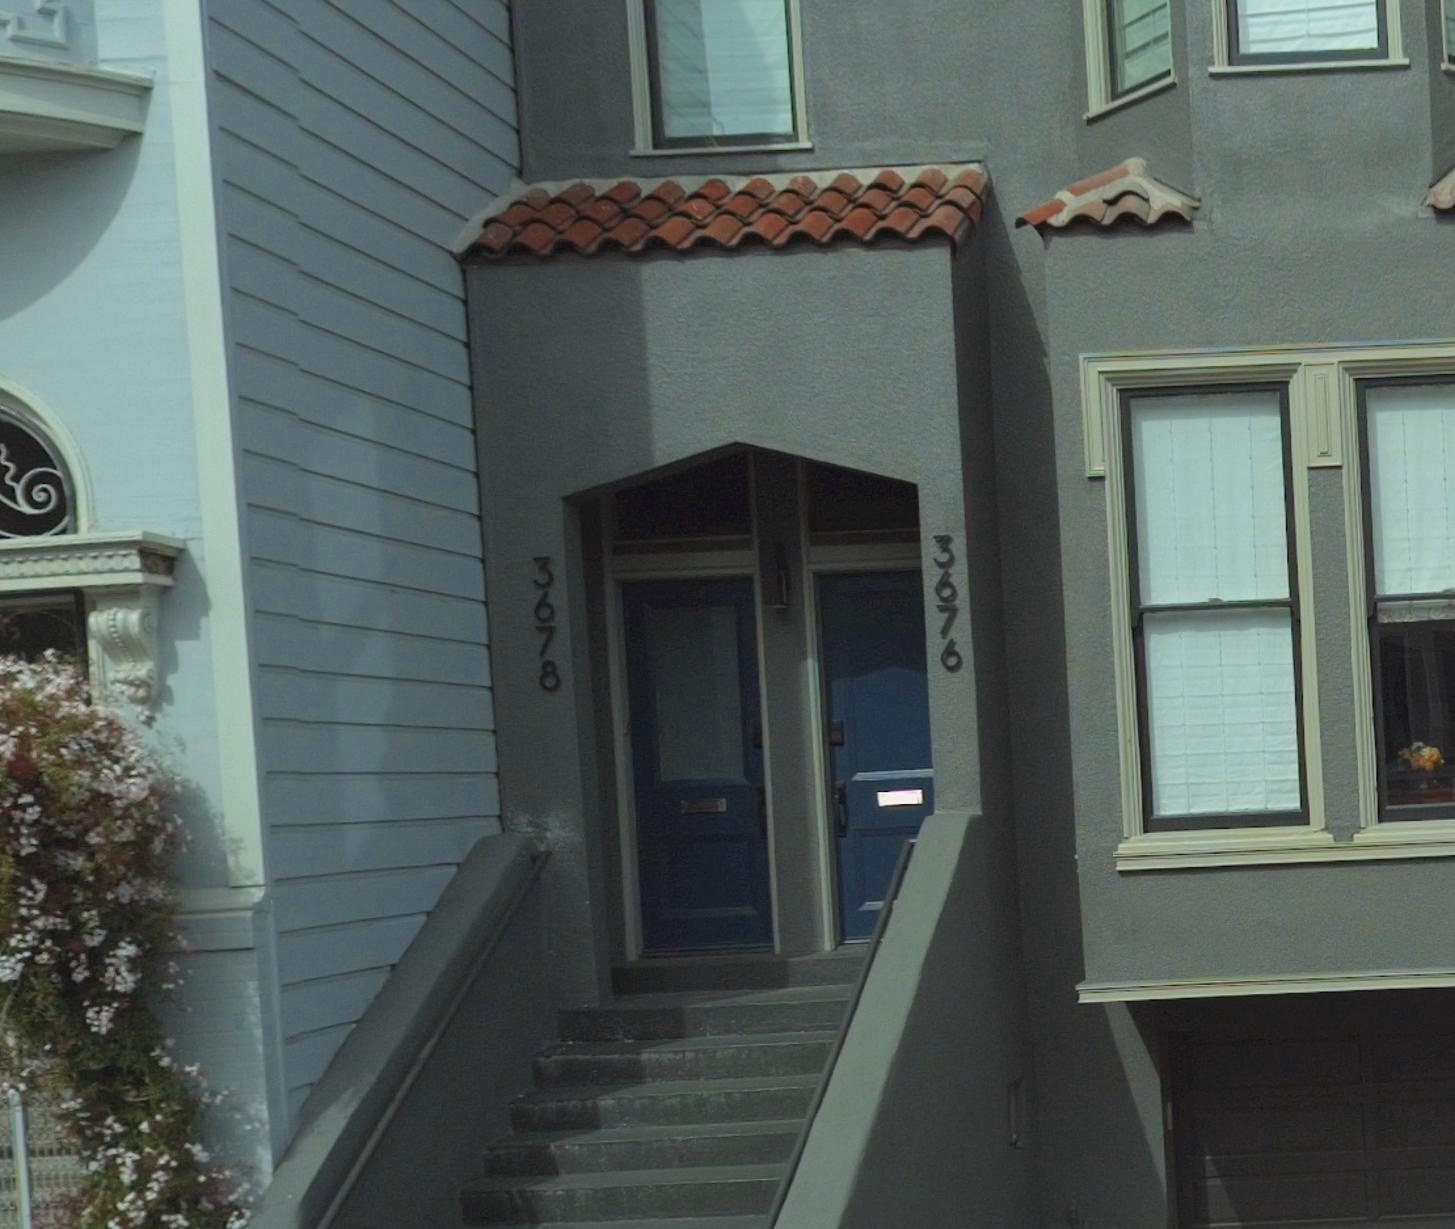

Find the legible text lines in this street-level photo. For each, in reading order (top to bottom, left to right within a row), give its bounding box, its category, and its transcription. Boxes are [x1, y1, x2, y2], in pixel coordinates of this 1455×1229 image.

[529, 555, 562, 693] StreetNumber: 3678
[931, 532, 965, 673] StreetNumber: 3676